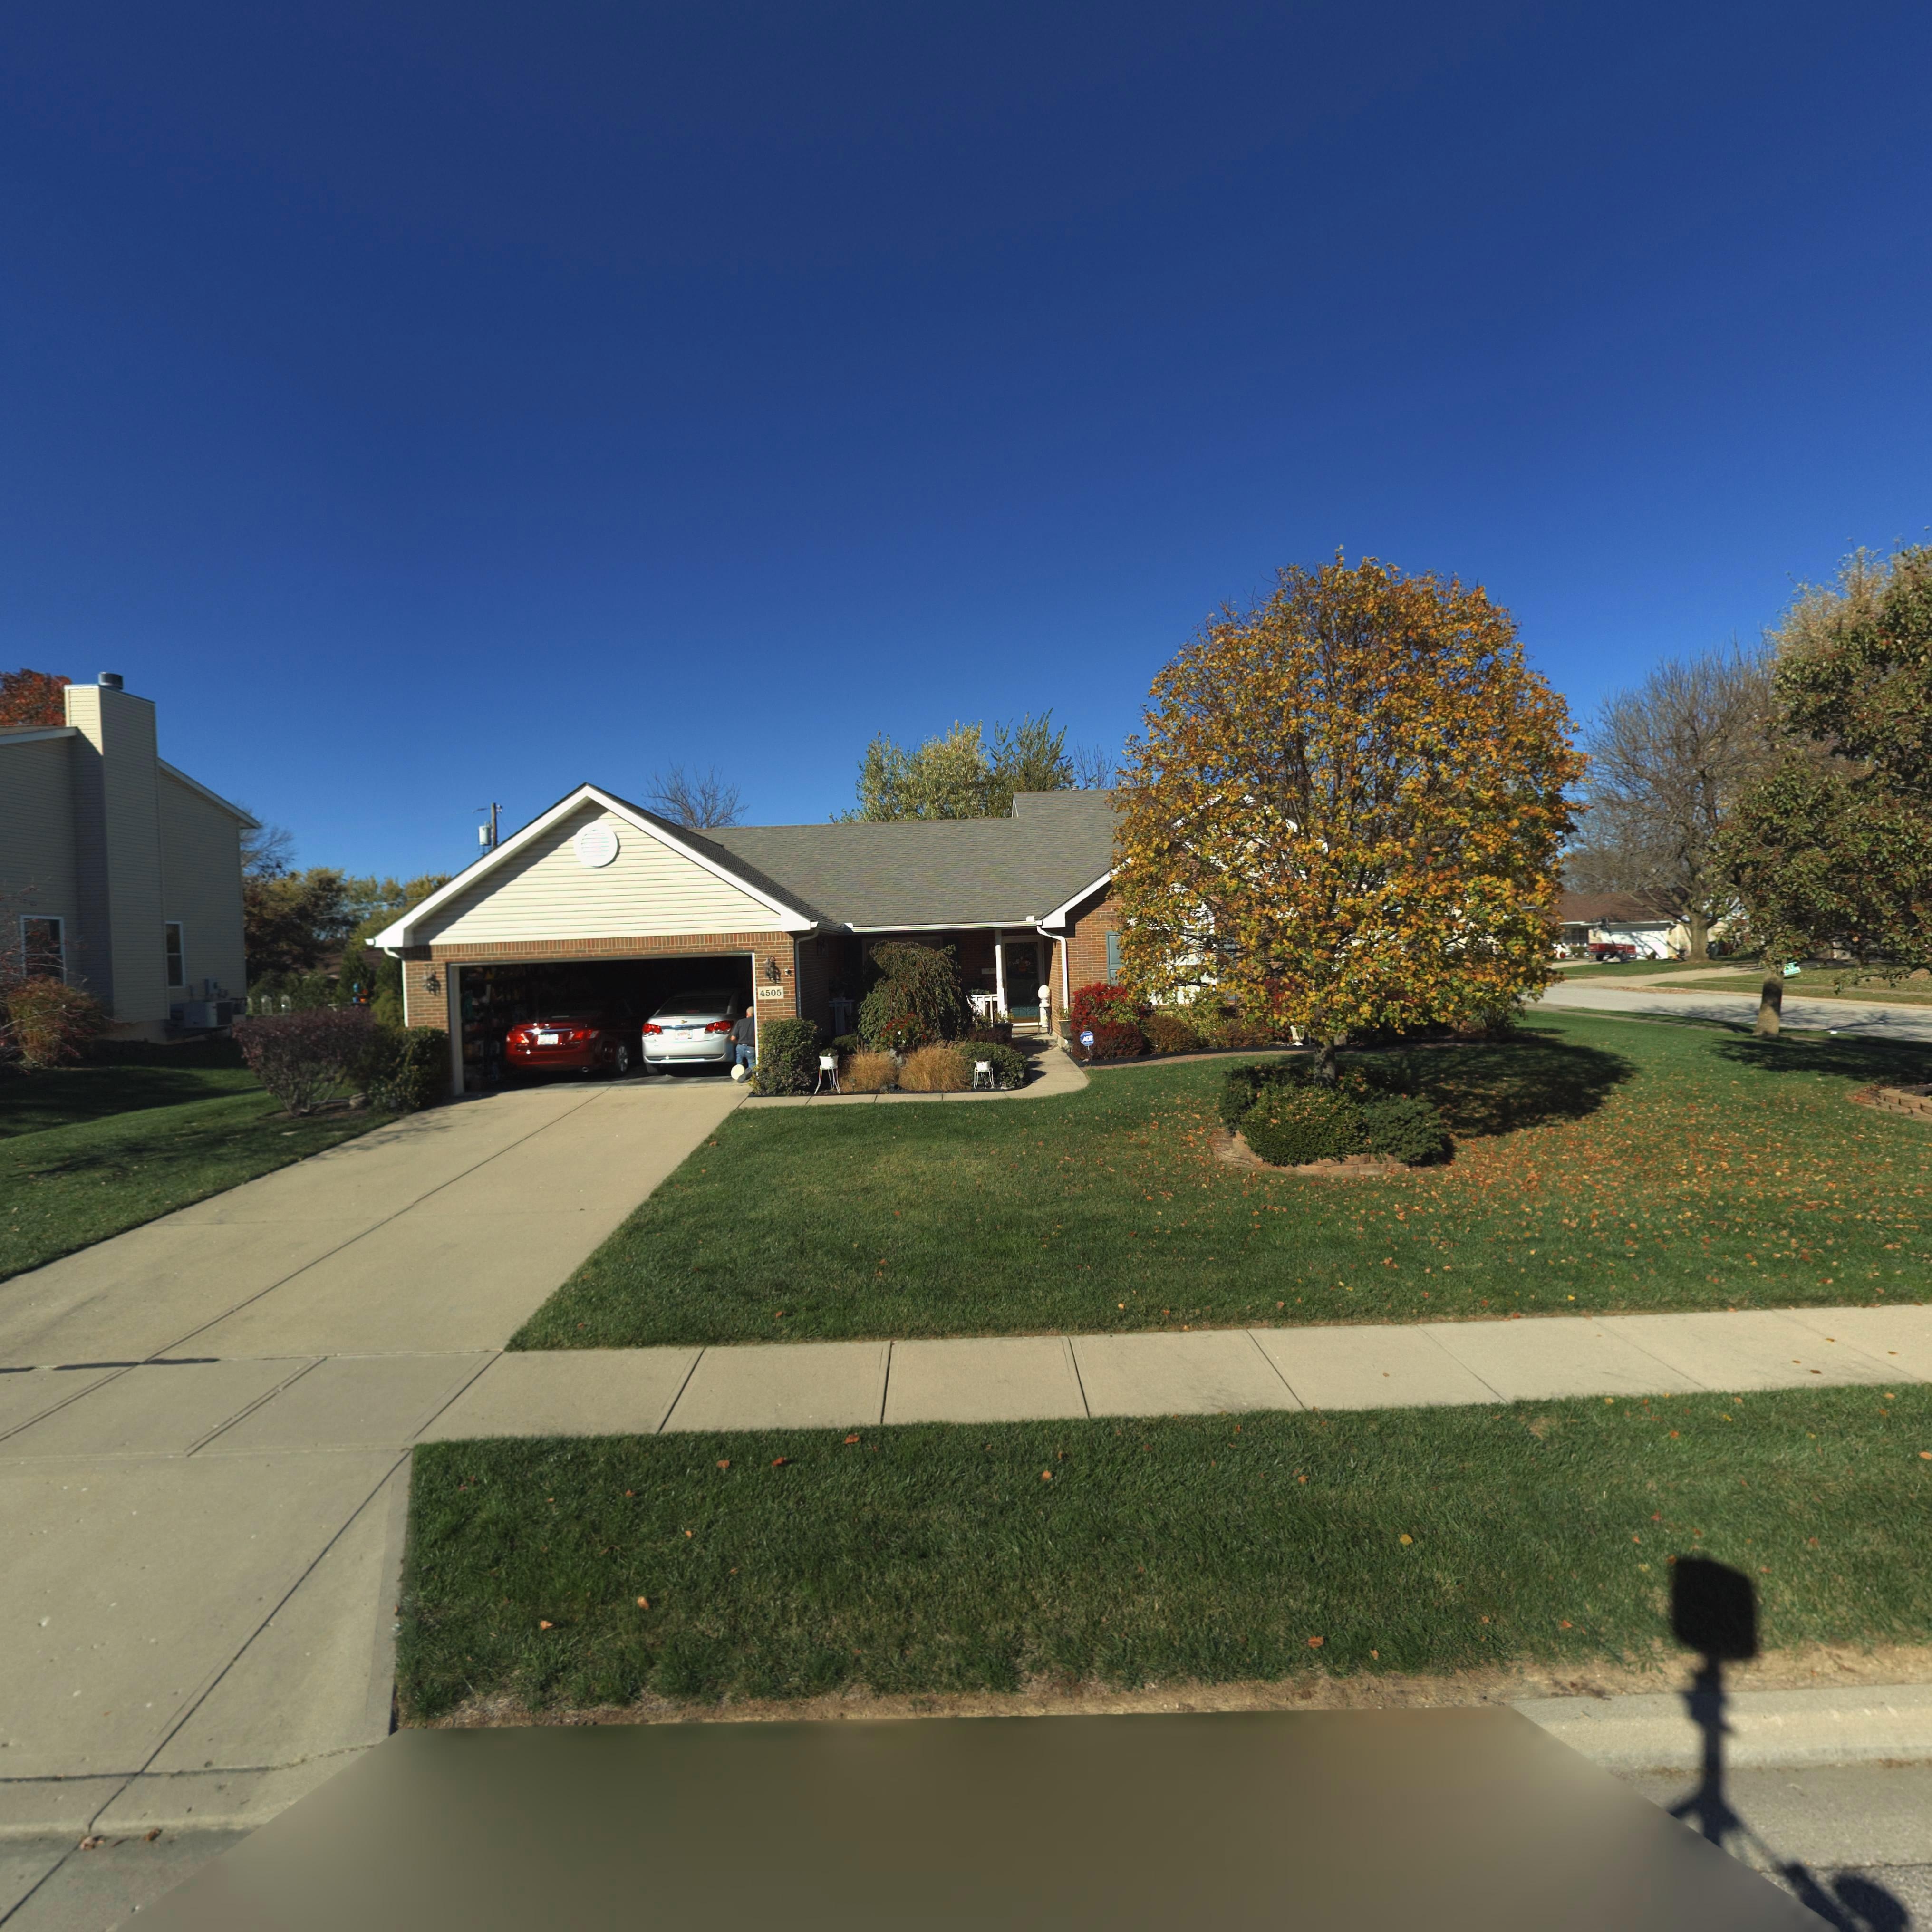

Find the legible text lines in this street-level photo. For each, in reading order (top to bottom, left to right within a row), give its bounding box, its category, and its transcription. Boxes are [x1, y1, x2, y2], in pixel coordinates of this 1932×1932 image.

[758, 988, 783, 997] StreetNumber: 4505
[1082, 1035, 1093, 1042] None: ADT